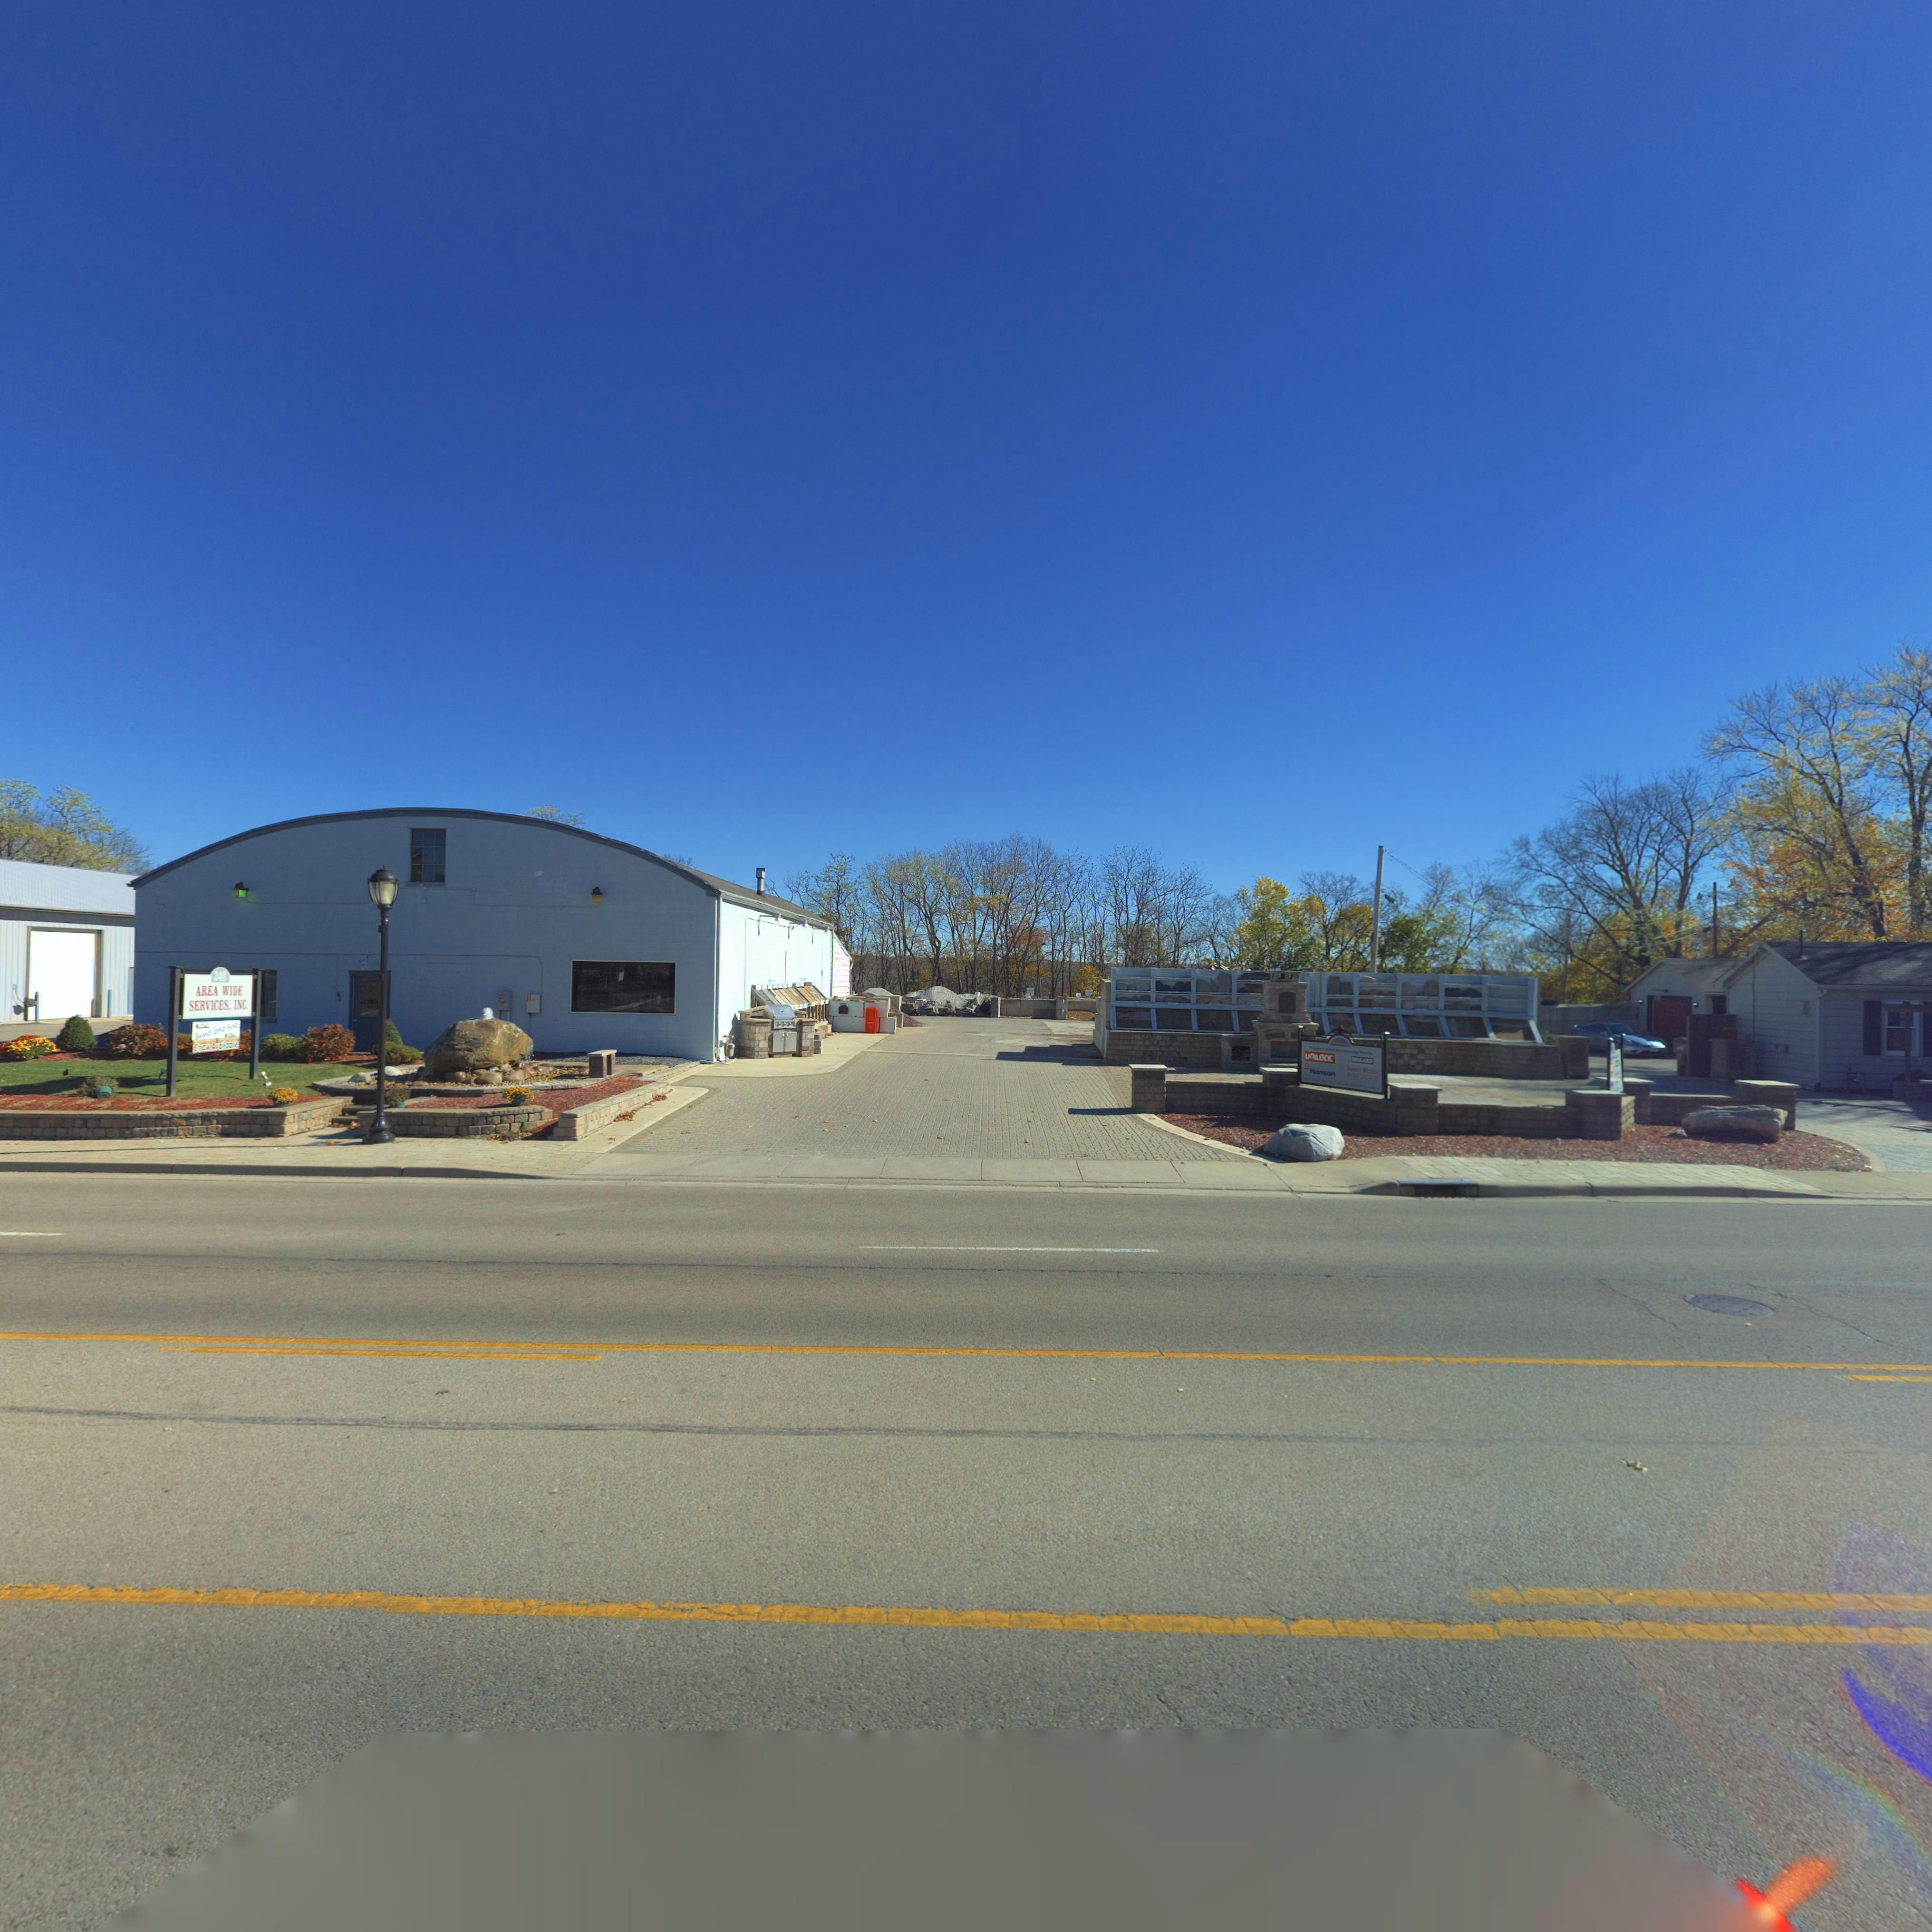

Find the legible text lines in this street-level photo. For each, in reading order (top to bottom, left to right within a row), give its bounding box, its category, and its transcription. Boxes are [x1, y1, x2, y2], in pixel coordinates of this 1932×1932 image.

[213, 970, 227, 982] StreetNumber: 340
[194, 985, 244, 997] BusinessName: AREA WIDE
[188, 999, 249, 1012] BusinessName: SERVICES, INC
[194, 1020, 239, 1042] None: Se*d and Sod
[1304, 1052, 1334, 1063] None: UNILOCK
[1309, 1066, 1336, 1077] None: Hanson